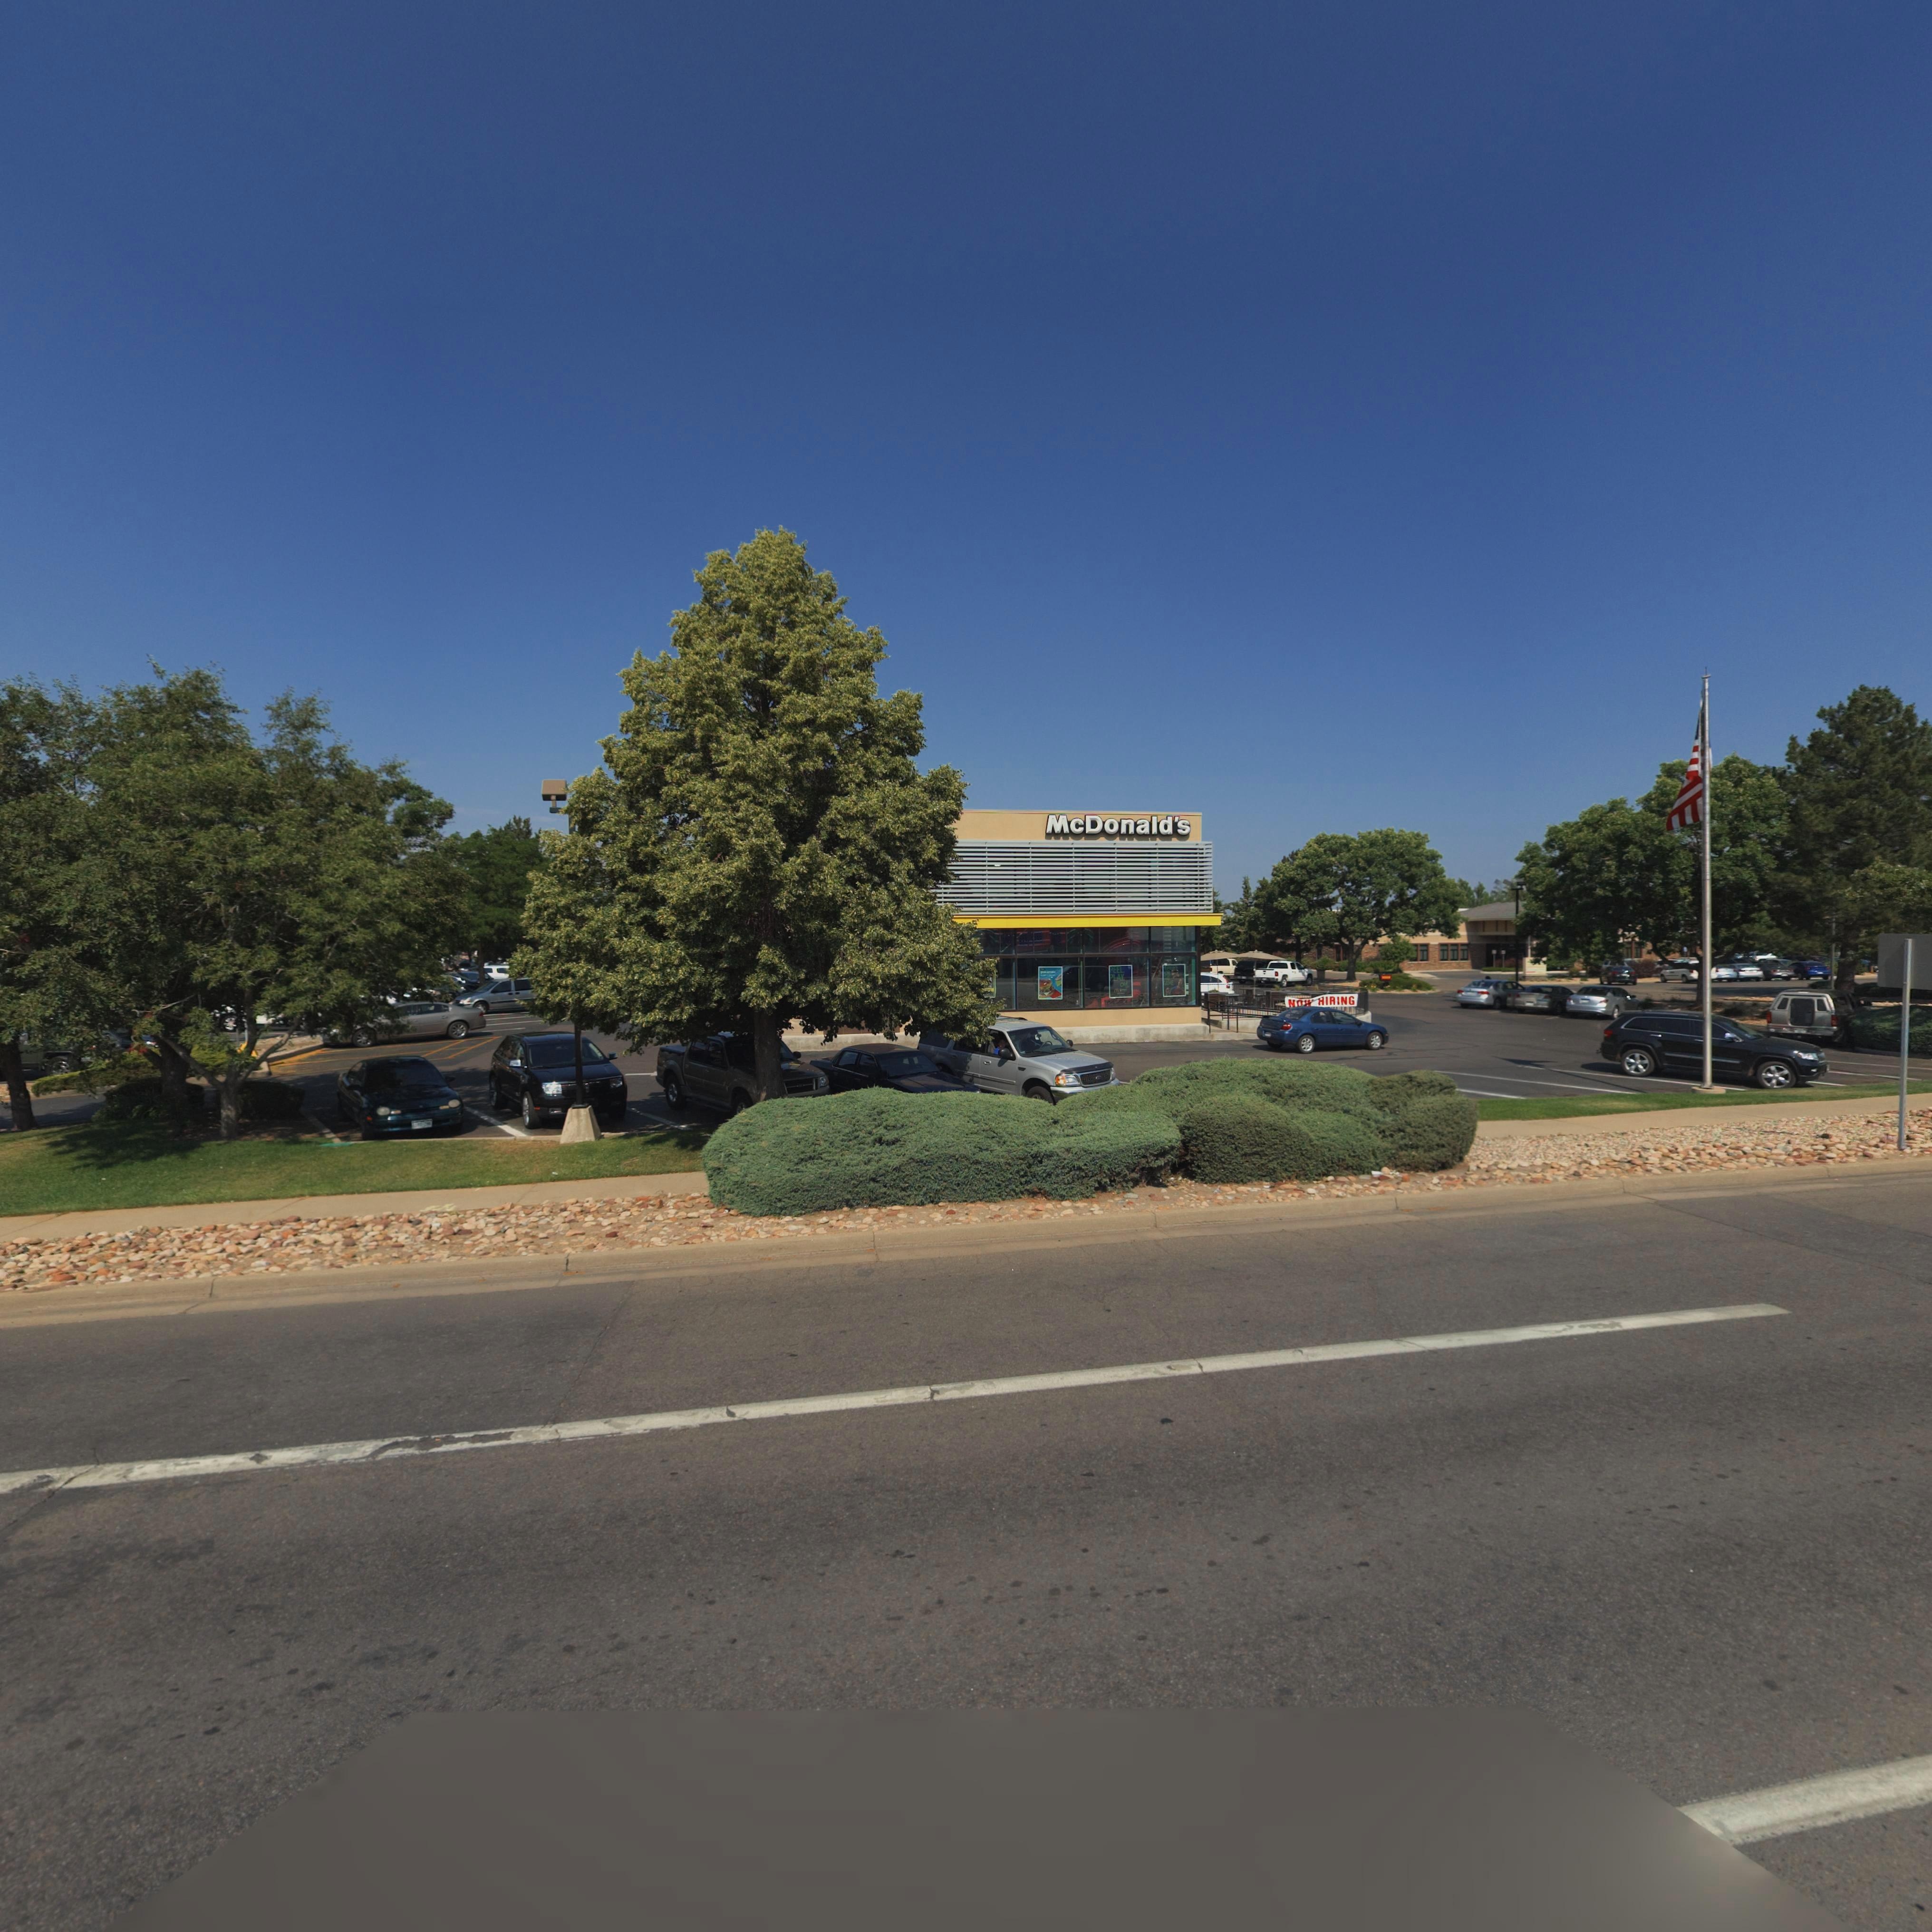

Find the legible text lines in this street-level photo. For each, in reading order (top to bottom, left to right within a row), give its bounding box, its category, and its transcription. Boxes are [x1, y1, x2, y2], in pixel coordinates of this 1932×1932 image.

[1045, 814, 1191, 835] BusinessName: McDonald's